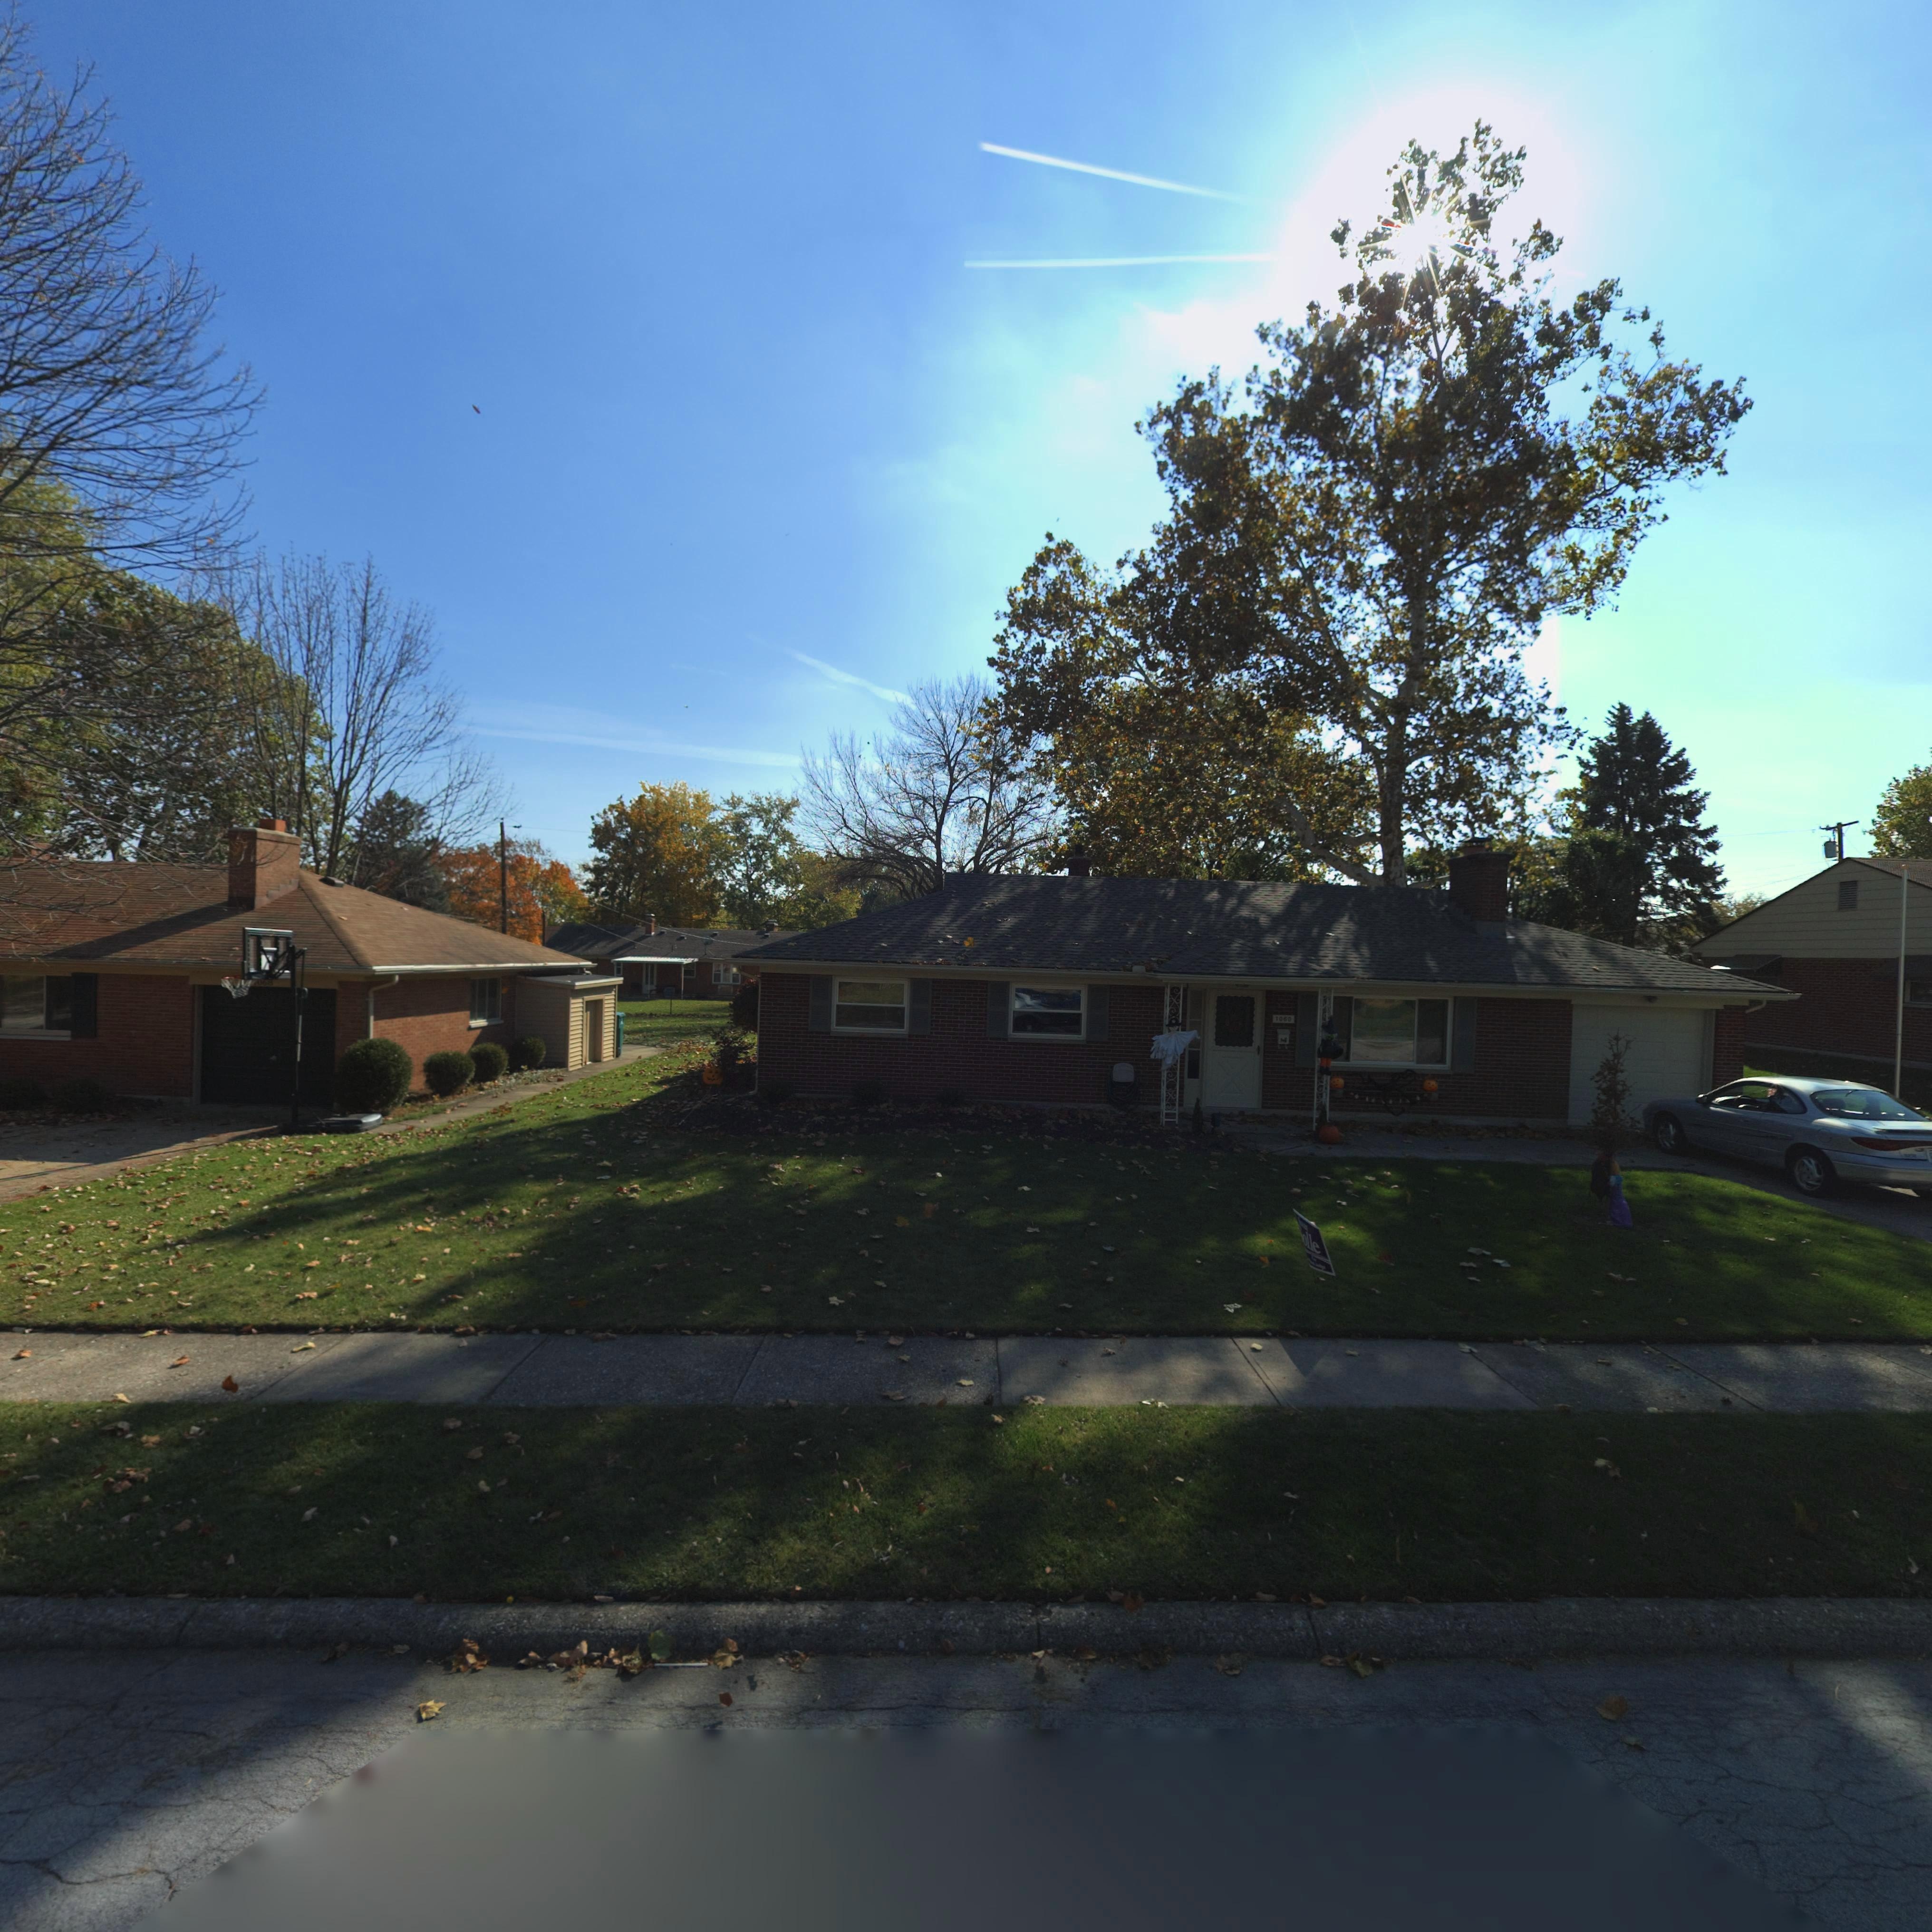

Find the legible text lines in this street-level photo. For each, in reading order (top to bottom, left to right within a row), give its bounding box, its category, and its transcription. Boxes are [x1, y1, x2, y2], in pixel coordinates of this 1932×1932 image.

[1275, 1015, 1291, 1022] StreetNumber: 1060